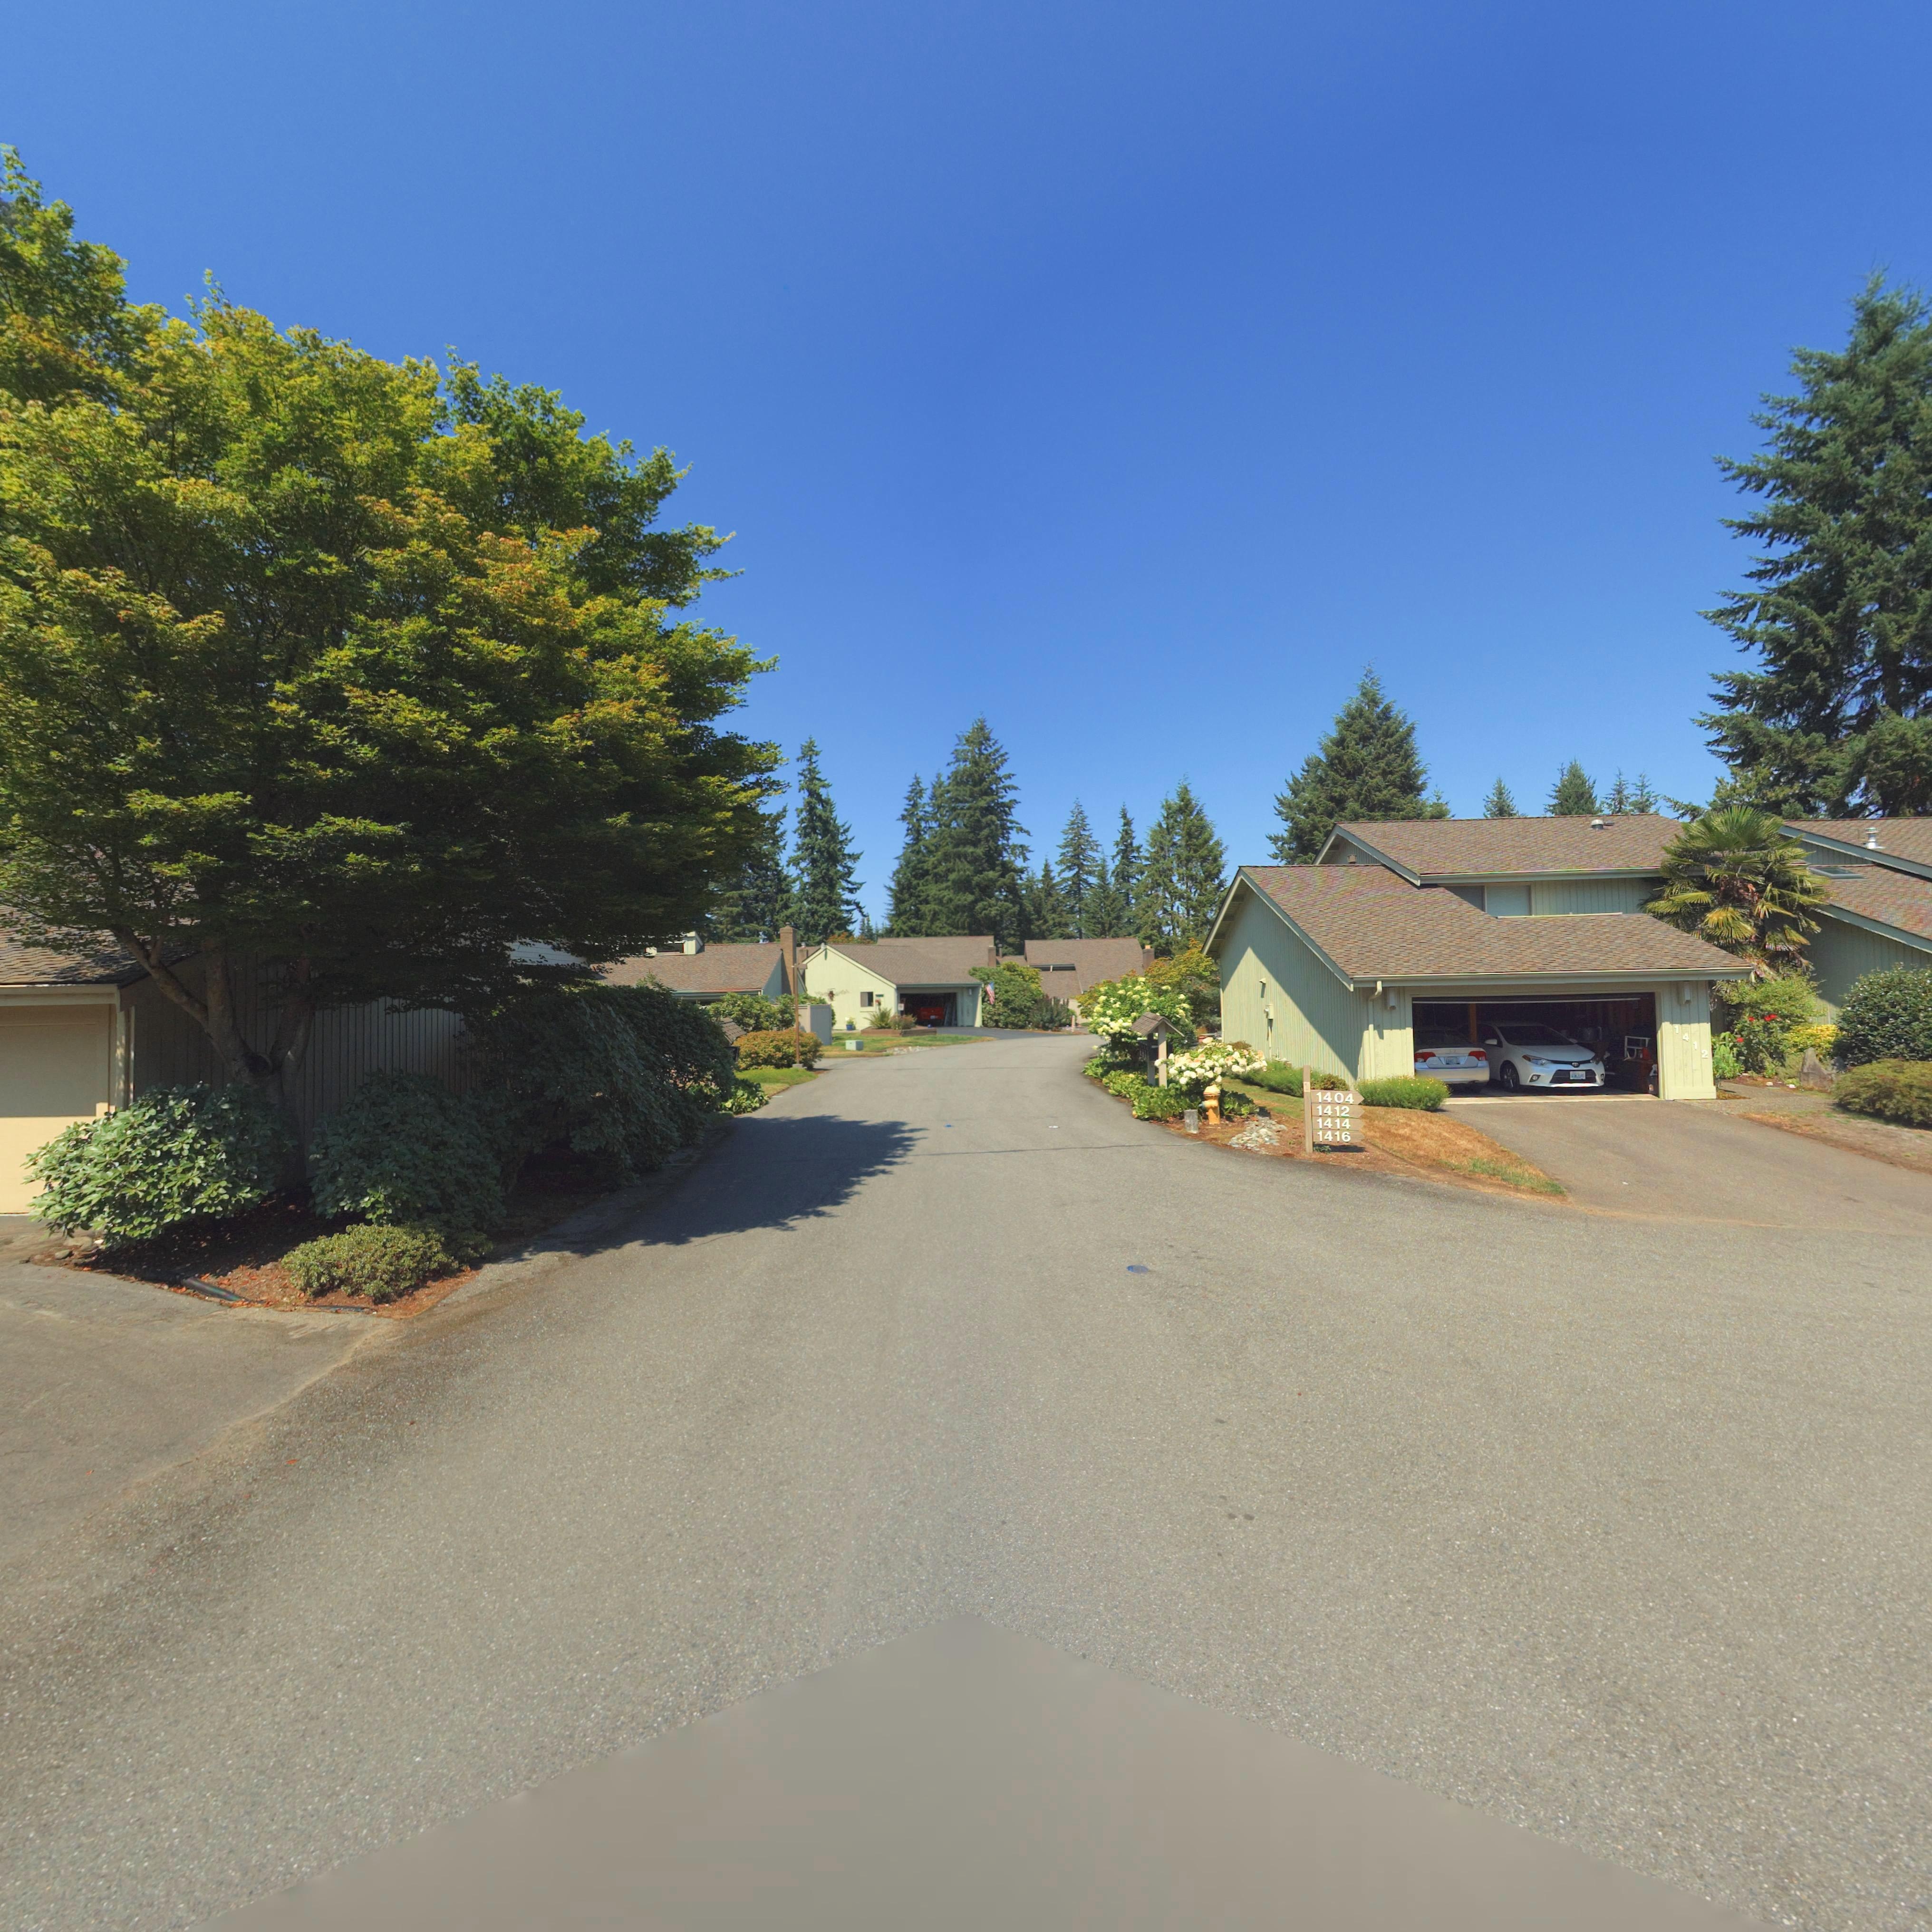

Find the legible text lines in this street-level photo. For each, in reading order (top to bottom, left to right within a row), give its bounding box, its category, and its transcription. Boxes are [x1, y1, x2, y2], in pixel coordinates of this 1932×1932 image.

[1314, 1091, 1355, 1104] StreetNumber: 1404
[1316, 1104, 1350, 1116] StreetNumber: 1412
[1317, 1118, 1350, 1128] StreetNumber: 1414
[1318, 1130, 1350, 1141] StreetNumber: 1416